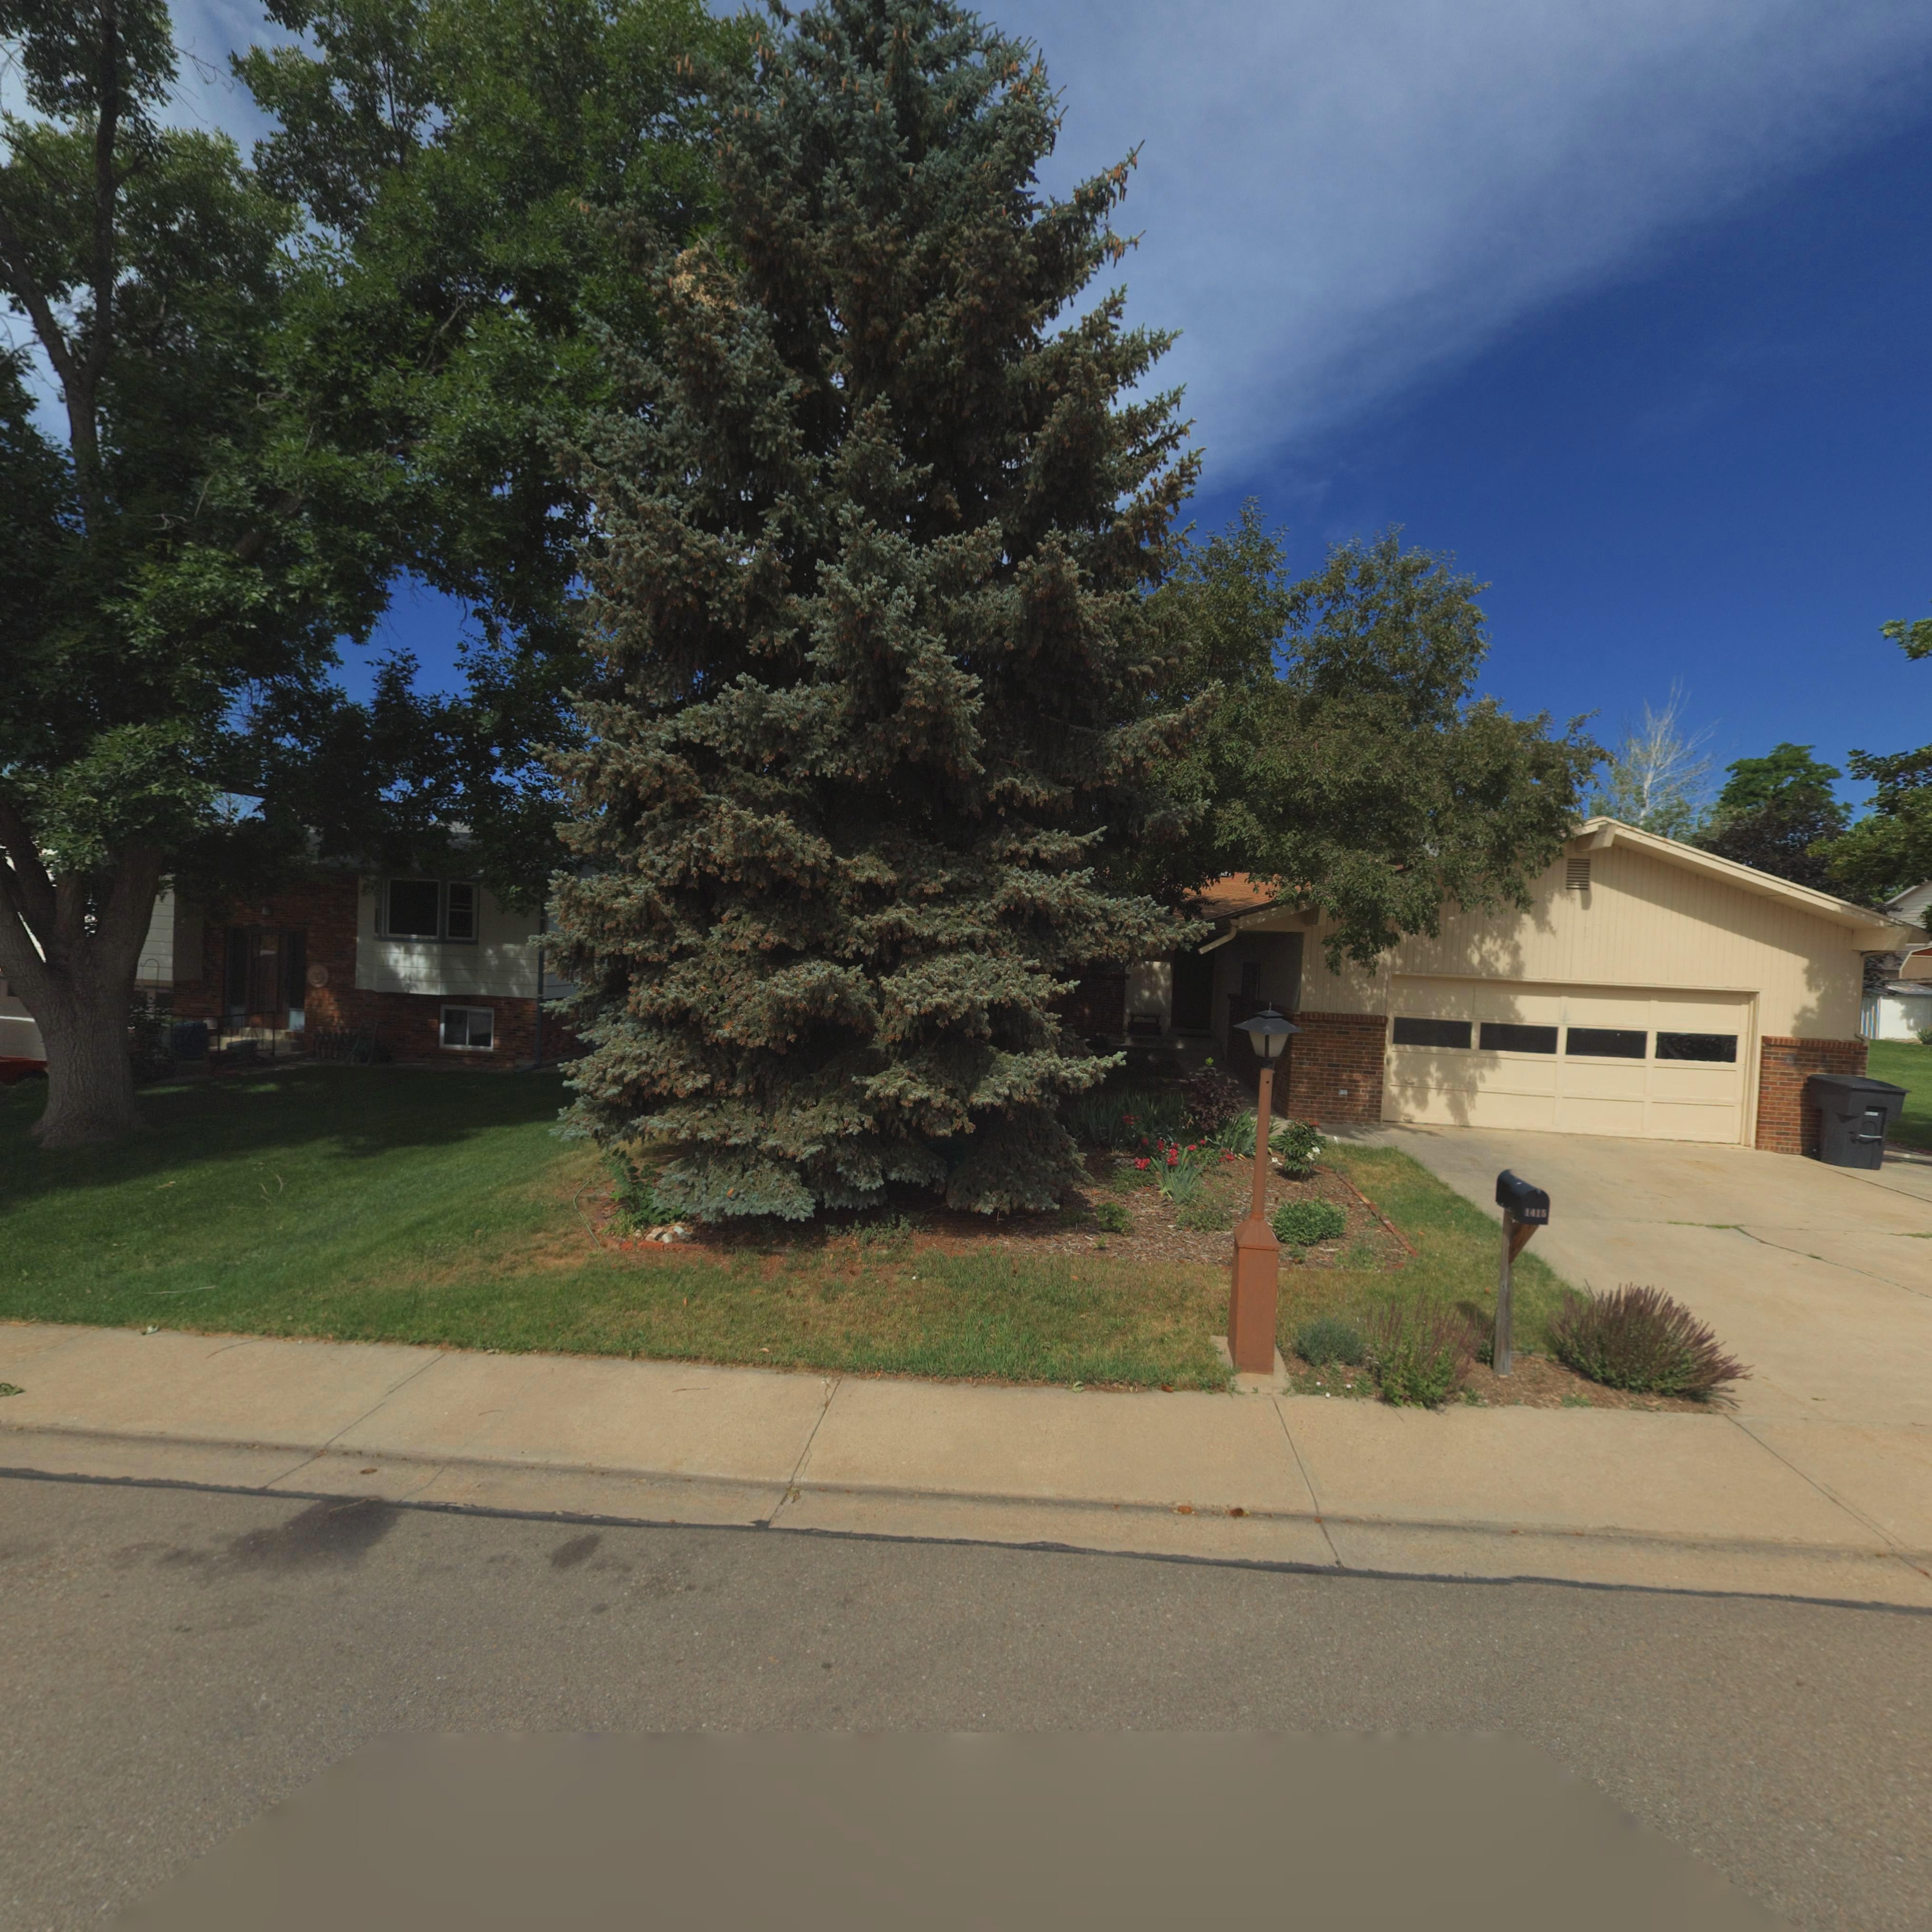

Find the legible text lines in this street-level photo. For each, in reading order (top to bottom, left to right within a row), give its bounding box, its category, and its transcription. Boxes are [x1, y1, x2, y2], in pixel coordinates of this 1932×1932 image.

[1524, 1207, 1547, 1217] StreetNumber: 1415